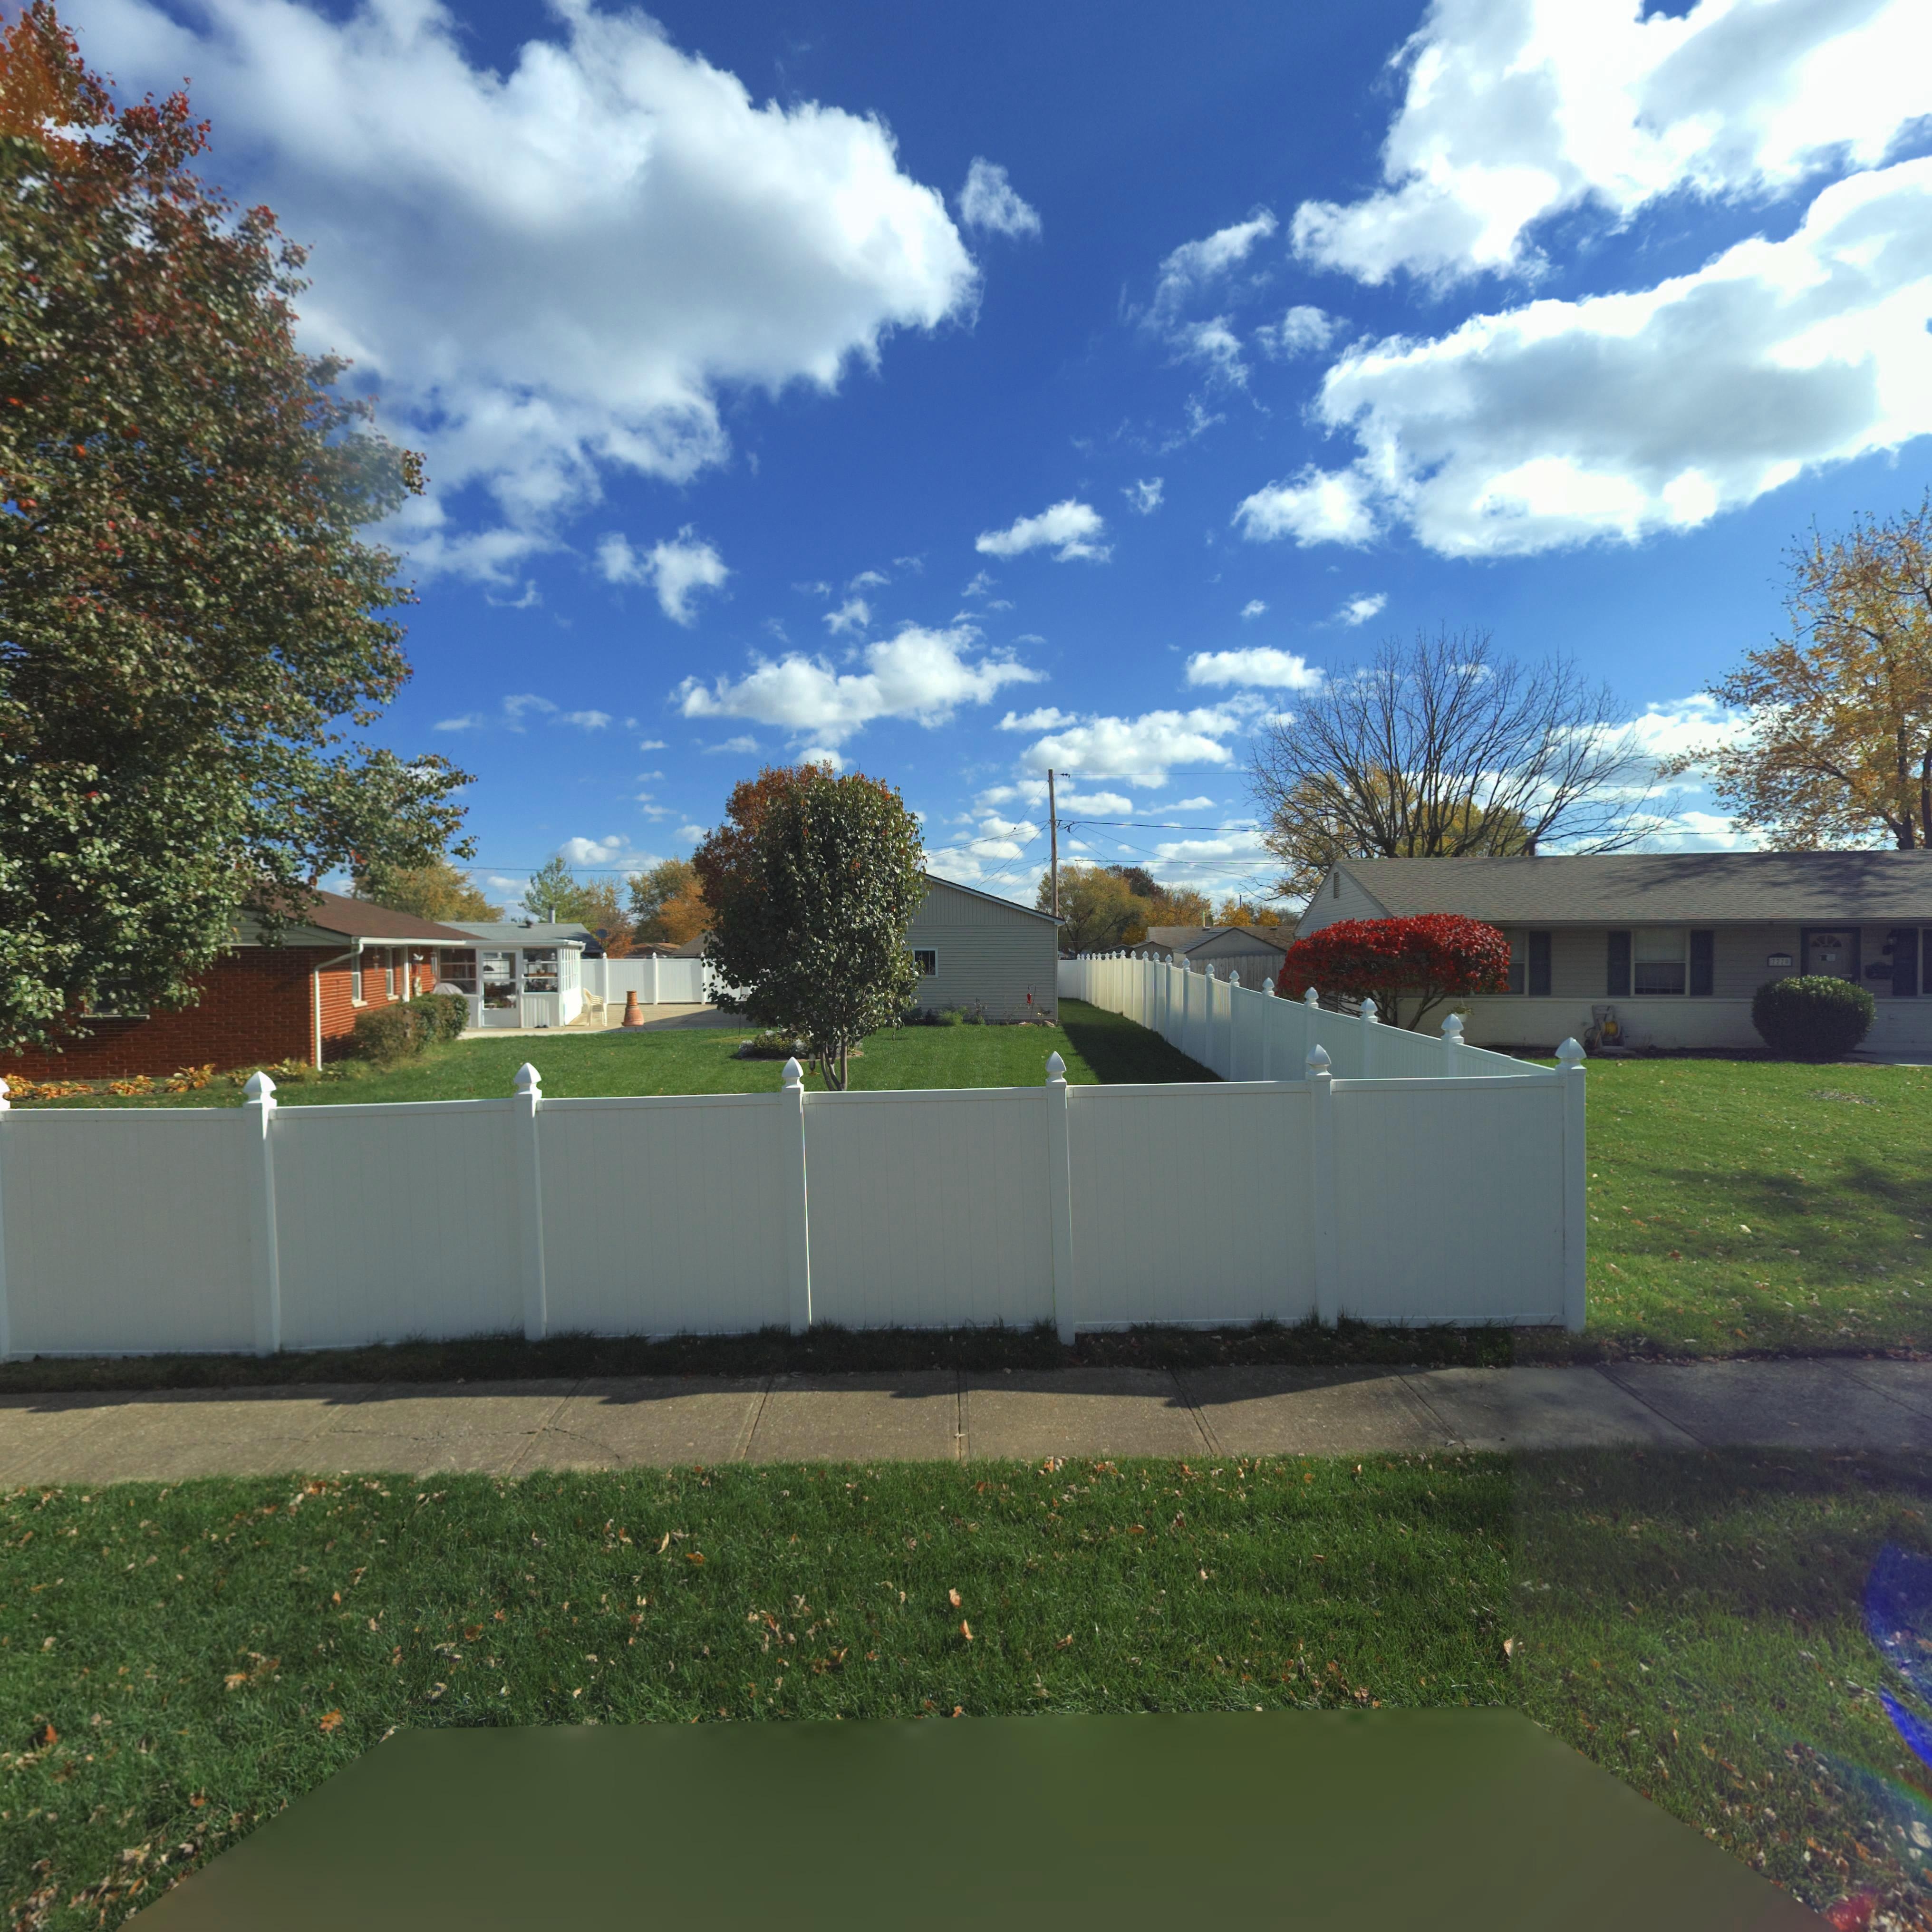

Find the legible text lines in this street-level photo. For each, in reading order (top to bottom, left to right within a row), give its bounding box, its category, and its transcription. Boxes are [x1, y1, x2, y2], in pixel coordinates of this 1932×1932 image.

[1771, 958, 1789, 965] StreetNumber: 7770